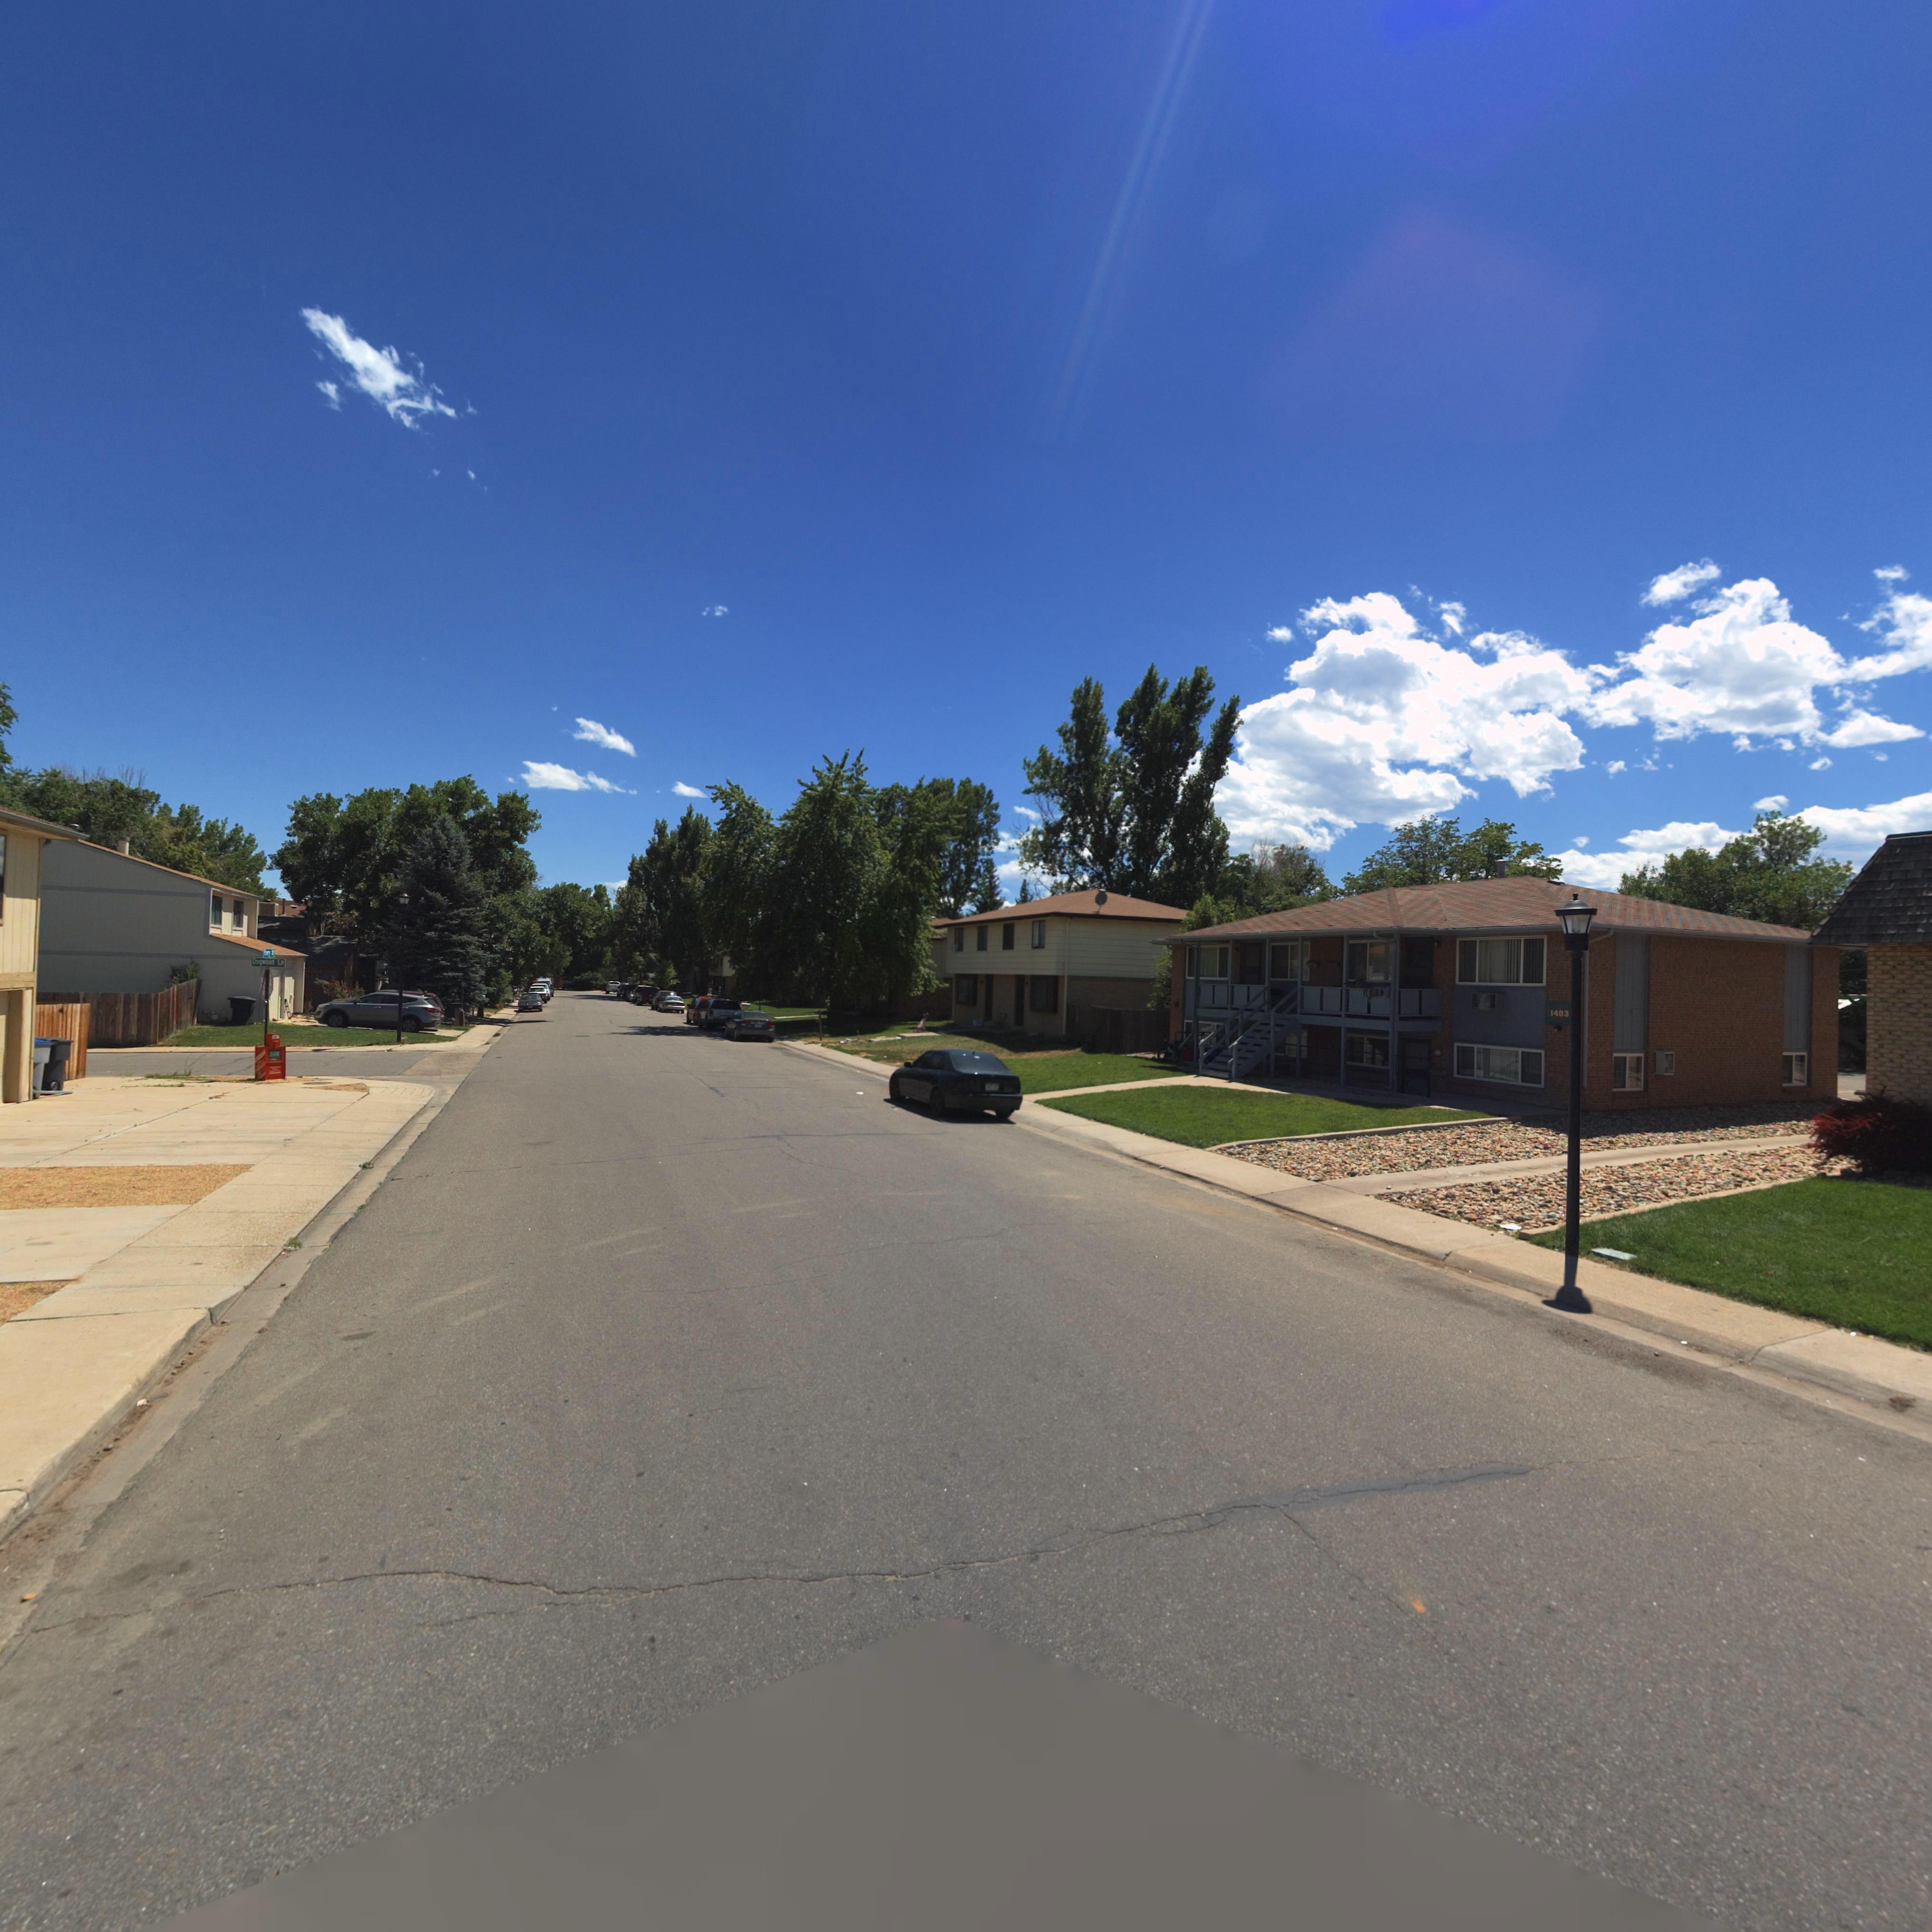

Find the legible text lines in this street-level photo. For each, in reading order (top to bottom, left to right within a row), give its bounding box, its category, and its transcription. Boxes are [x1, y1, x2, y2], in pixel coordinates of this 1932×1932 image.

[263, 948, 275, 956] StreetName: Emery St
[252, 957, 284, 966] StreetName: Dogwood Ln
[1550, 1009, 1569, 1017] StreetNumber: 1403